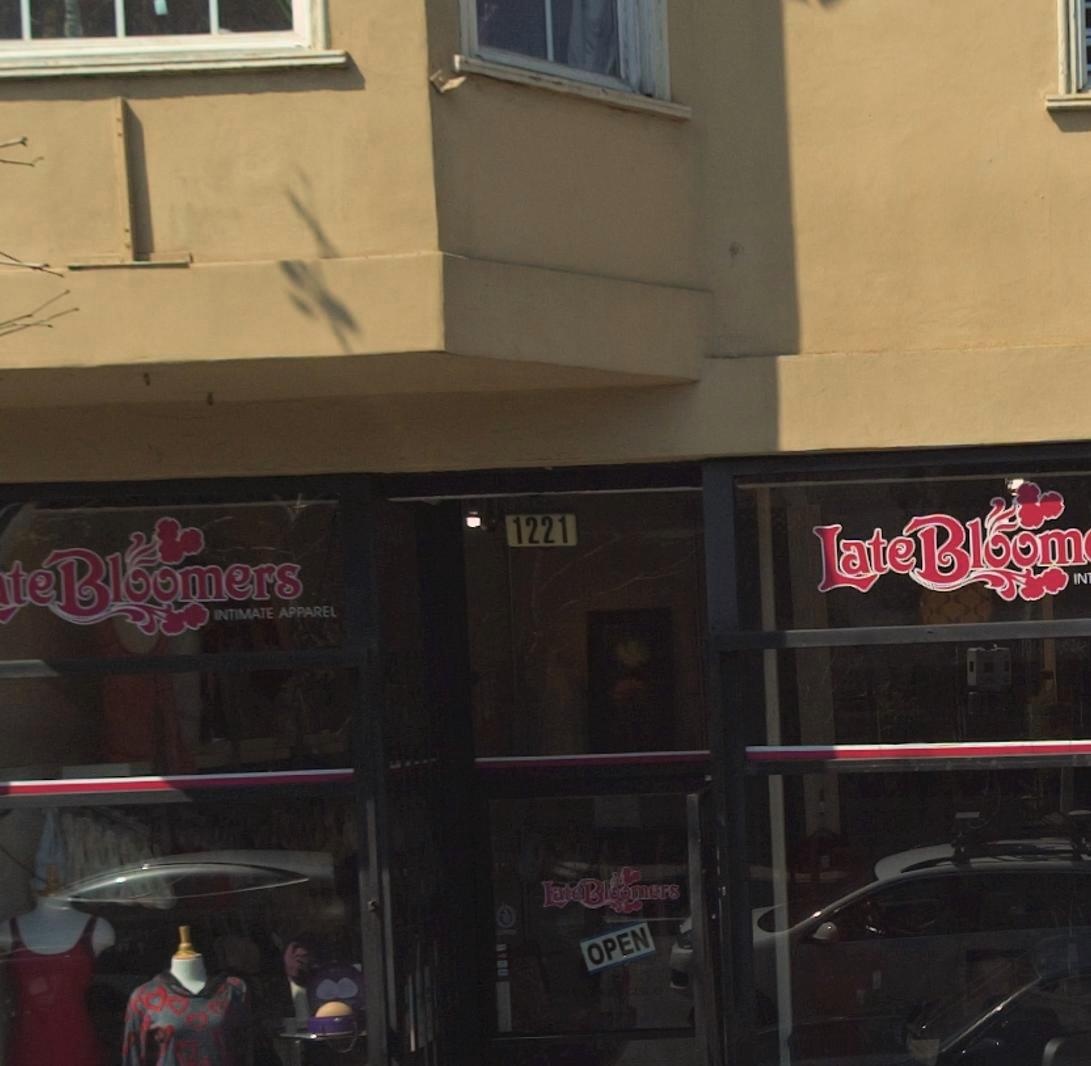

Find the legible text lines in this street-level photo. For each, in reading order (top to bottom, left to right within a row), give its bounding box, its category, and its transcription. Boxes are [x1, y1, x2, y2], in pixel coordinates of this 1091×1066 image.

[512, 513, 570, 547] StreetNumber: 1221
[804, 508, 1085, 598] BusinessName: Late Bloom
[41, 543, 304, 622] BusinessName: Bloomers
[211, 602, 340, 624] None: INTIMATE APPAREL
[535, 877, 685, 914] BusinessName: Late Bloomers
[582, 923, 654, 970] None: OPEN